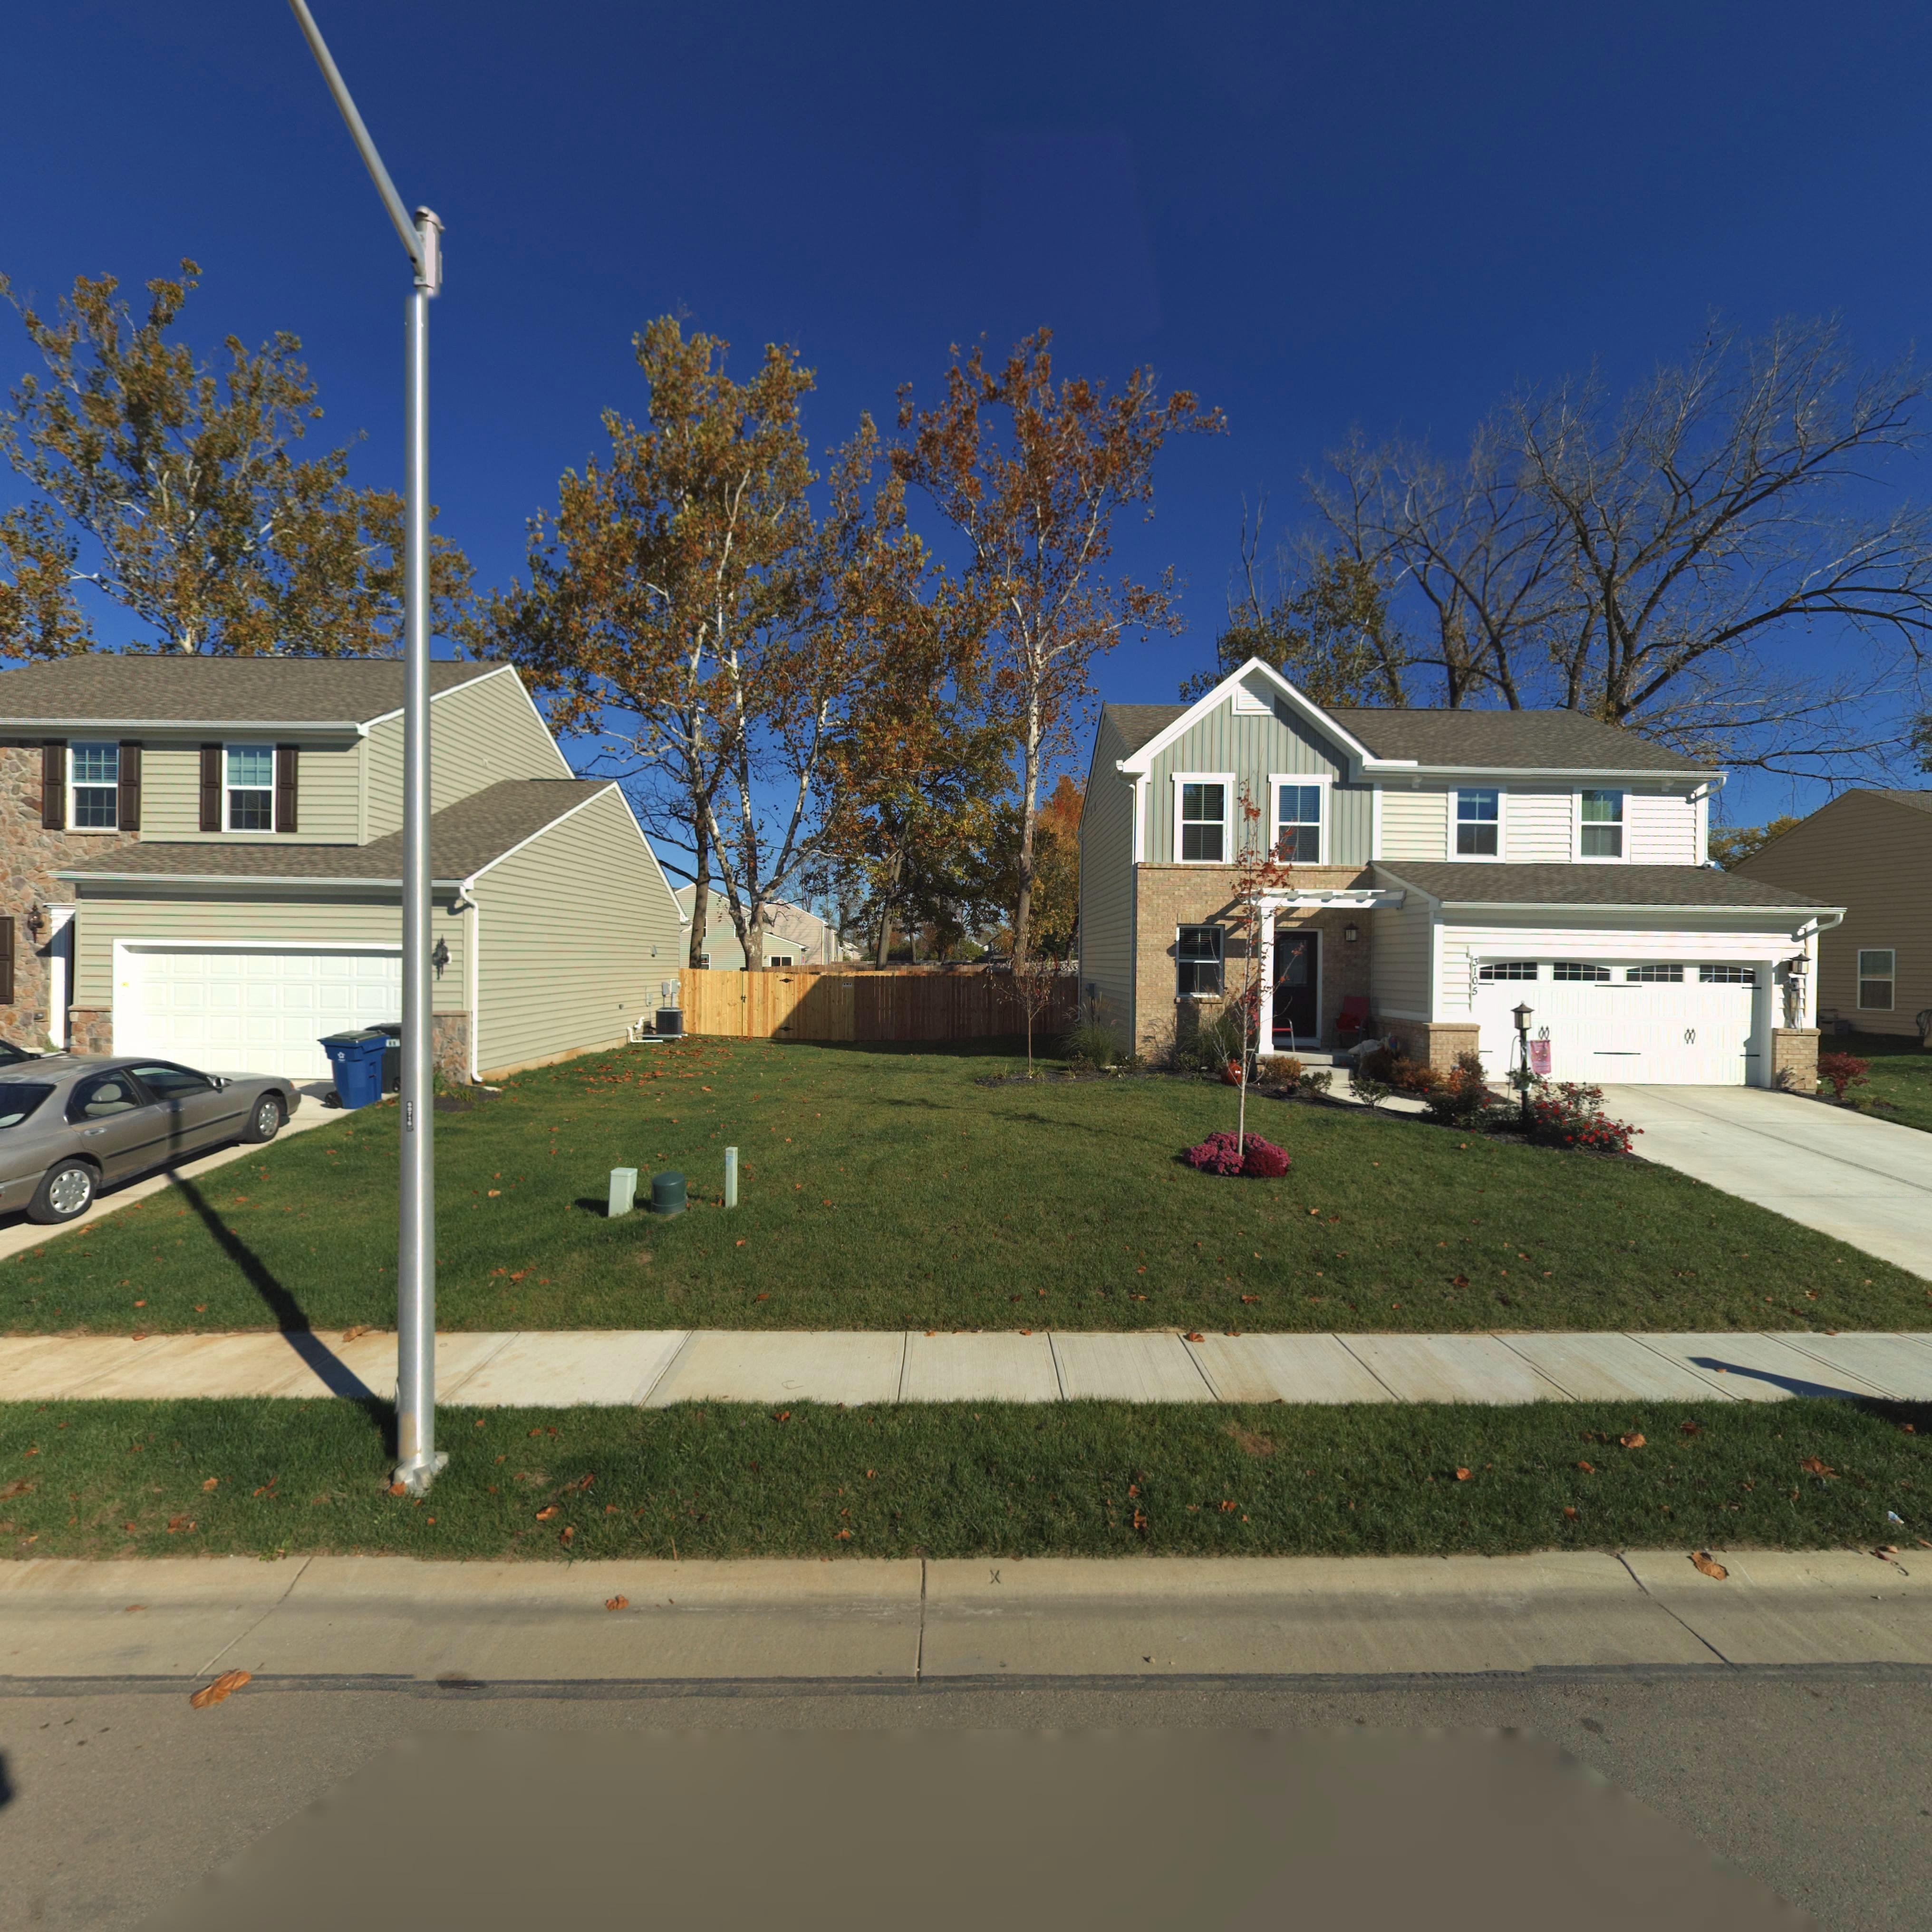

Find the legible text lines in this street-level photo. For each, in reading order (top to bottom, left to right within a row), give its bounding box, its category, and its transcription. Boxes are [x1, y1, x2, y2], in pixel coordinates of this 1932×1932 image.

[1471, 957, 1479, 996] StreetNumber: 3105